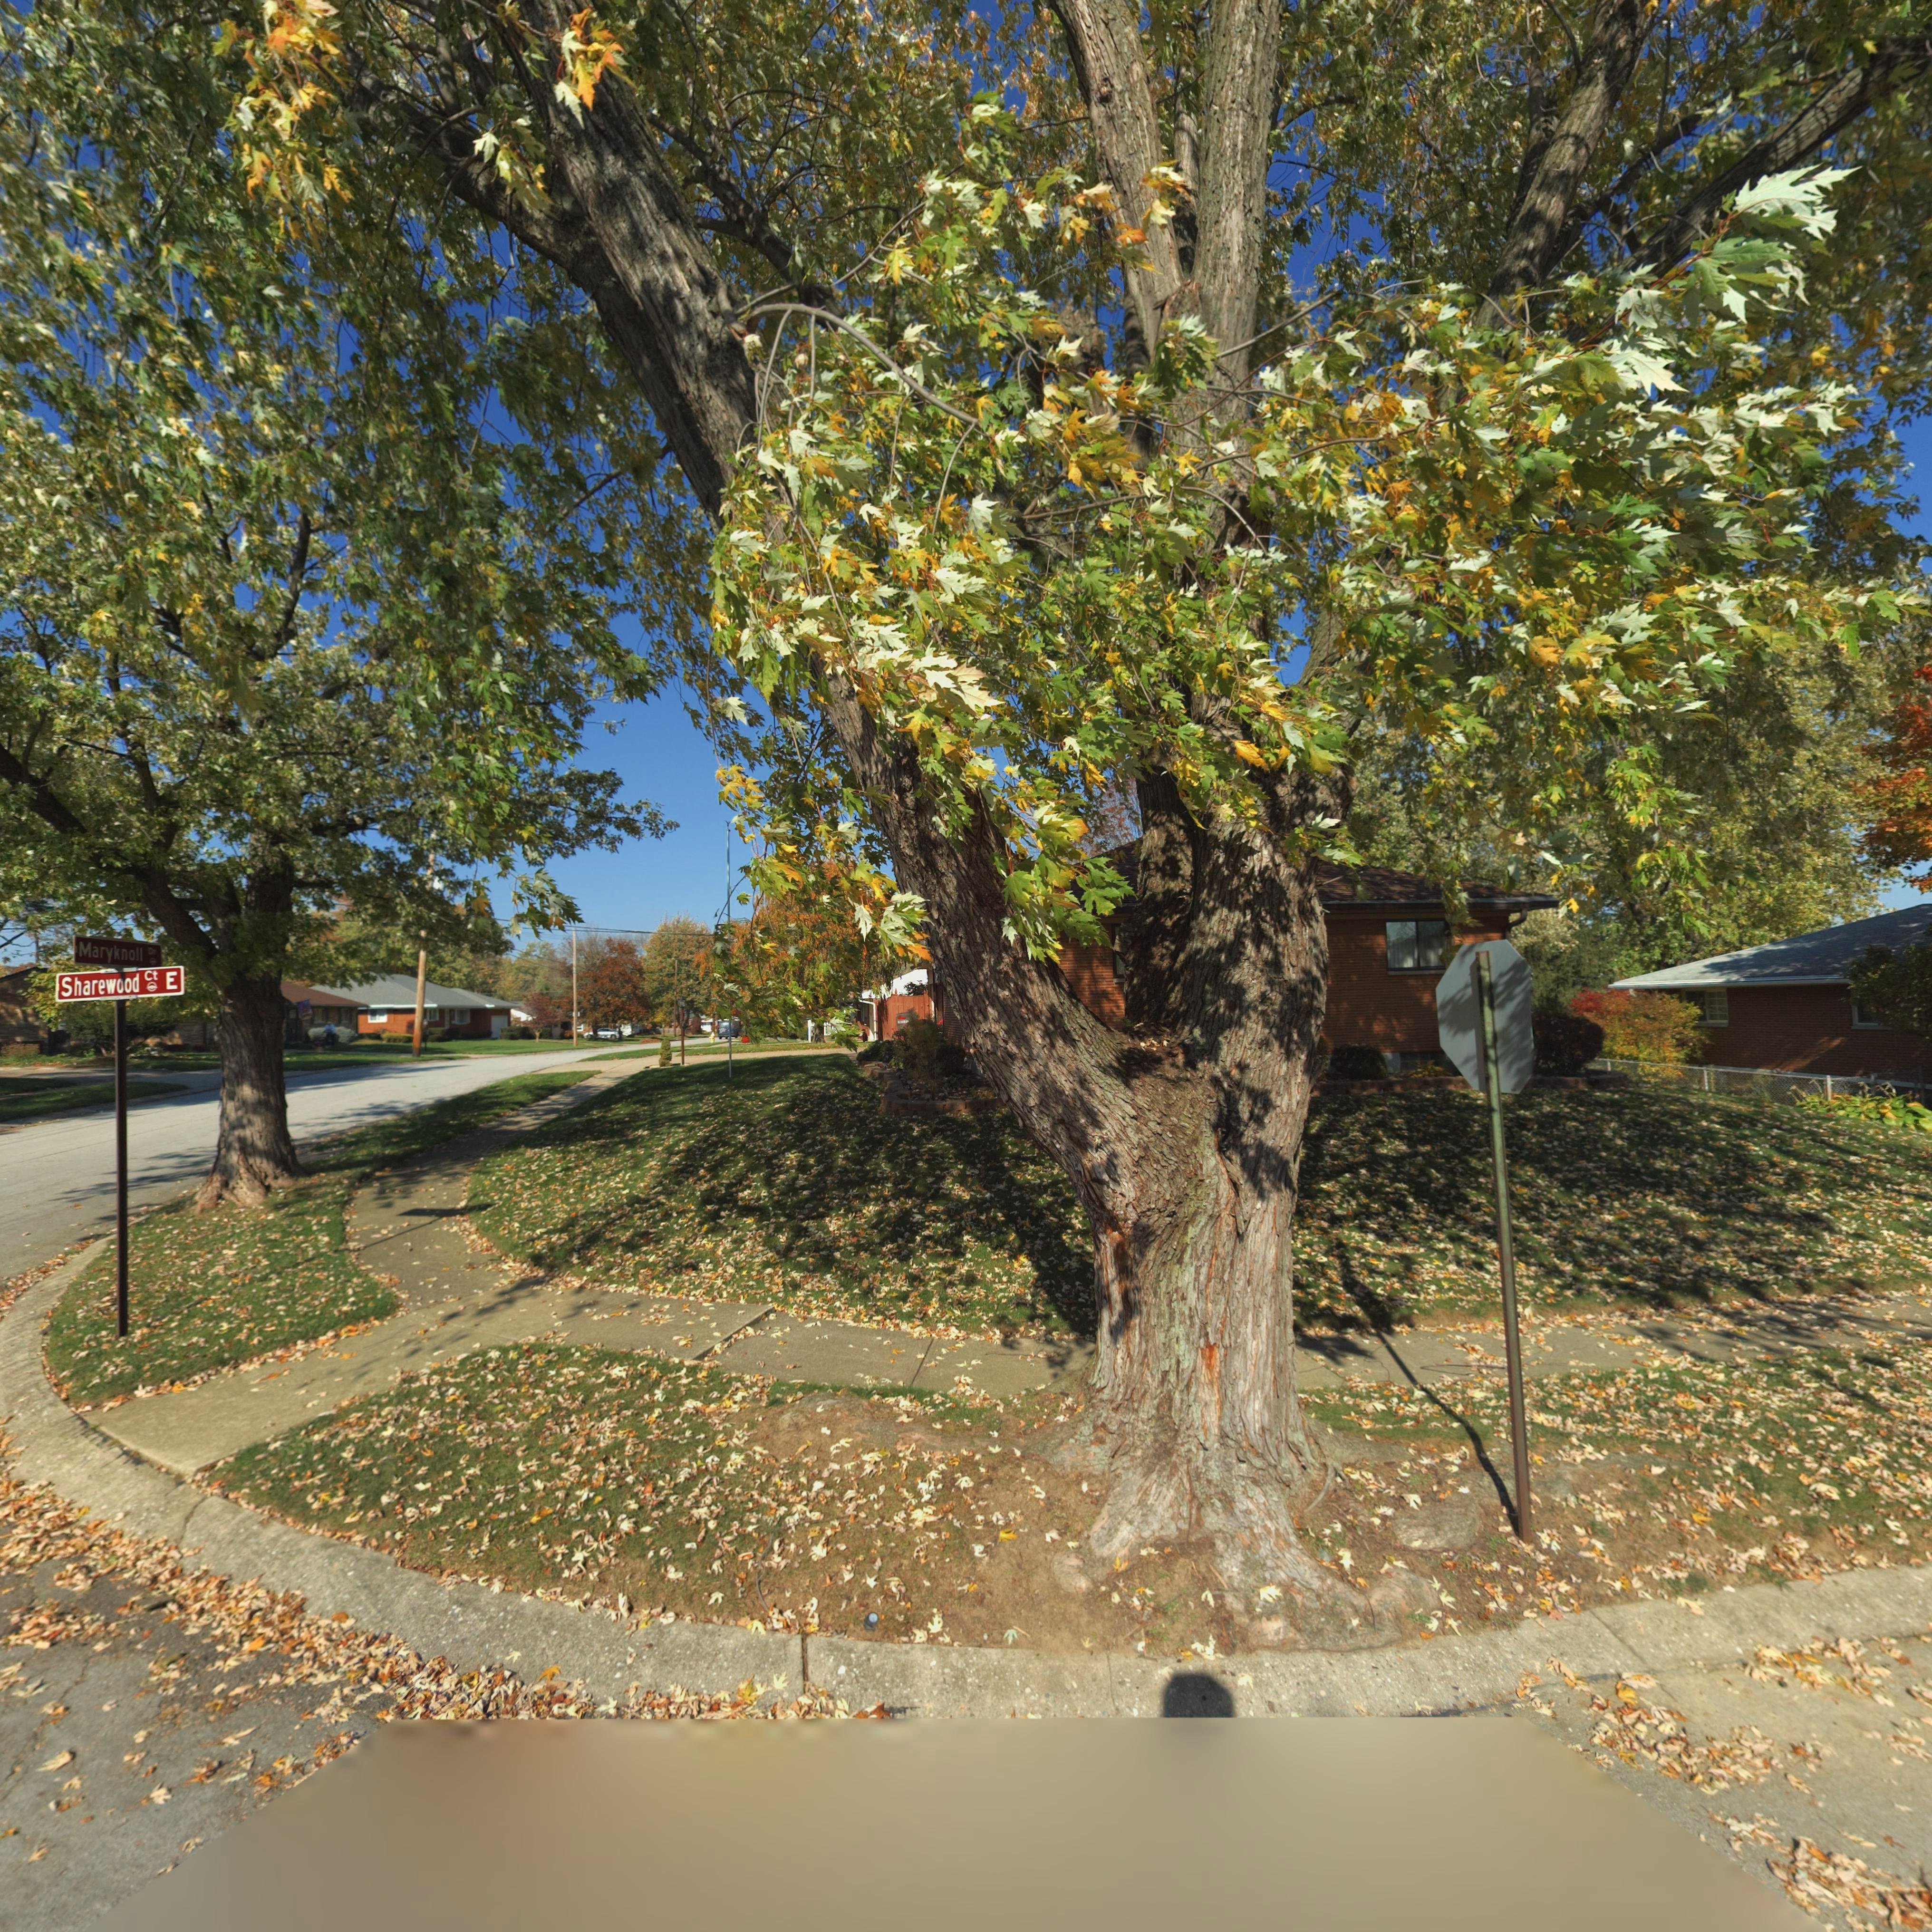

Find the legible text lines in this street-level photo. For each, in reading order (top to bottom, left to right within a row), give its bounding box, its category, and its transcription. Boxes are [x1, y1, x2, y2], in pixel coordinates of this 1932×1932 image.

[77, 939, 158, 964] StreetName: Maryknoll Dr
[59, 969, 179, 999] StreetName: Sharewood Ct E